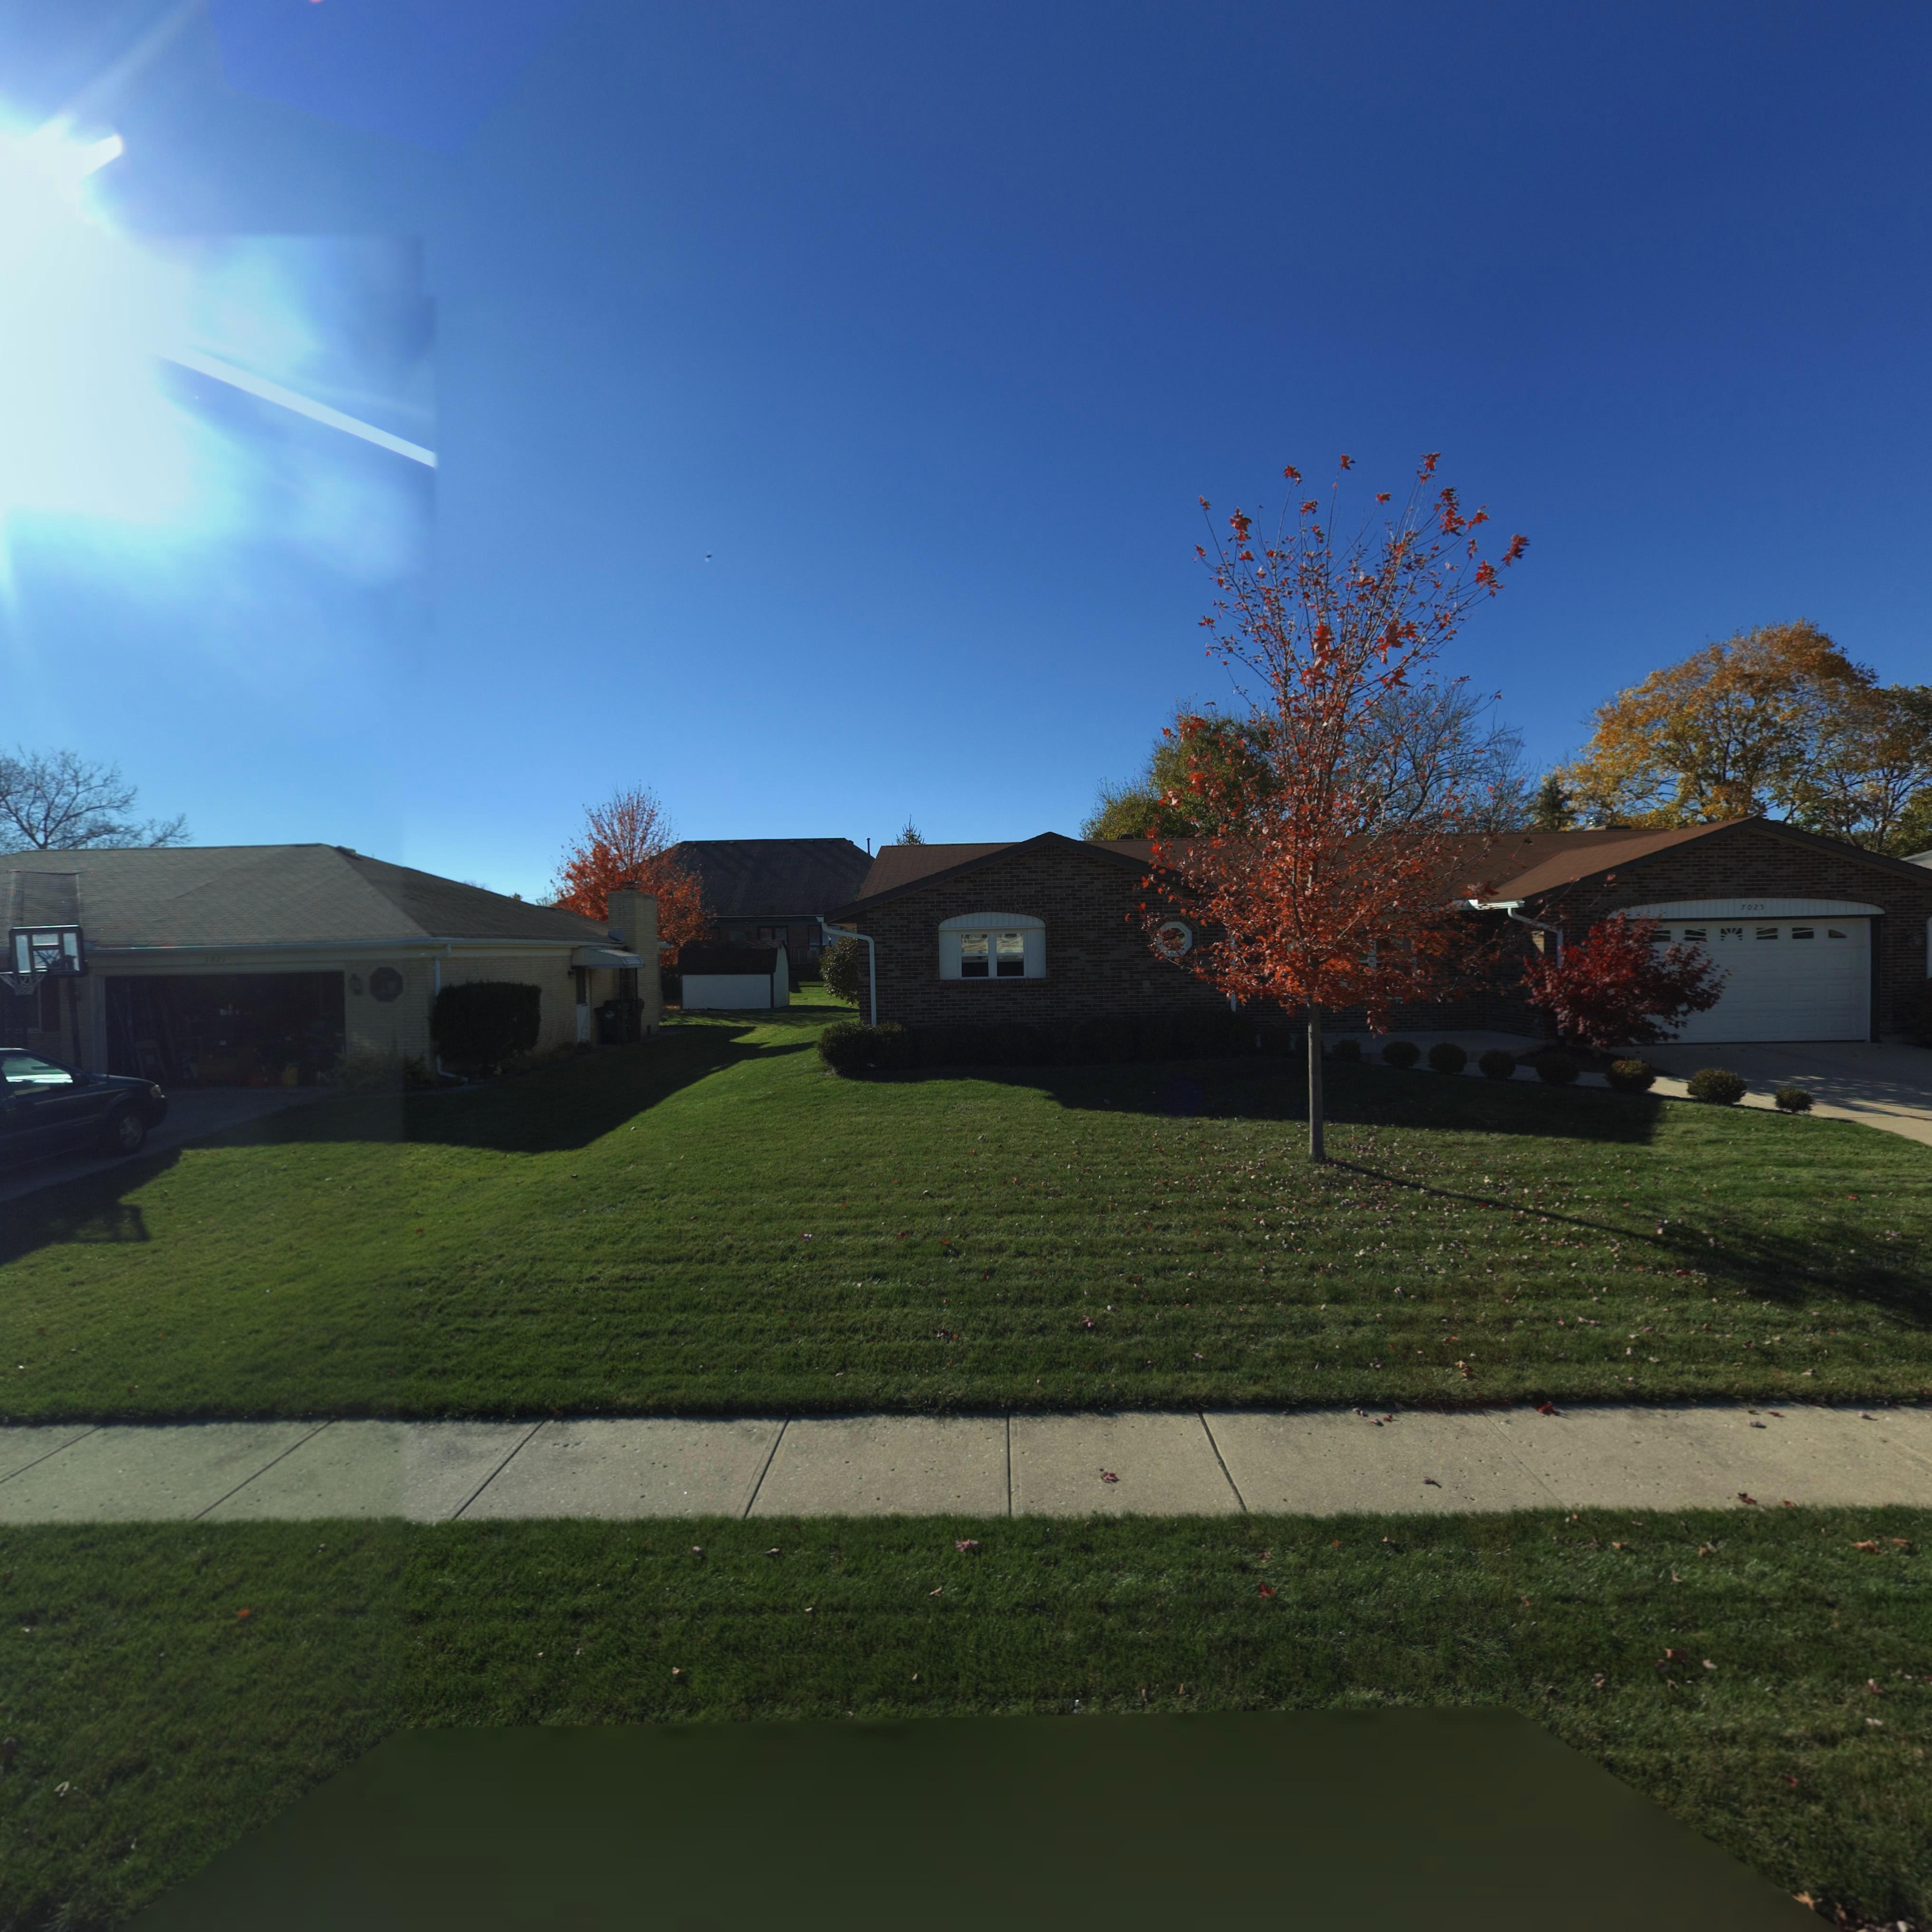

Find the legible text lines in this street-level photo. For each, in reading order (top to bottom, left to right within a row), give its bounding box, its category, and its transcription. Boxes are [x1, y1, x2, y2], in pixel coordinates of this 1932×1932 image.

[1740, 903, 1765, 911] StreetNumber: 7025
[203, 955, 227, 963] StreetNumber: 7021